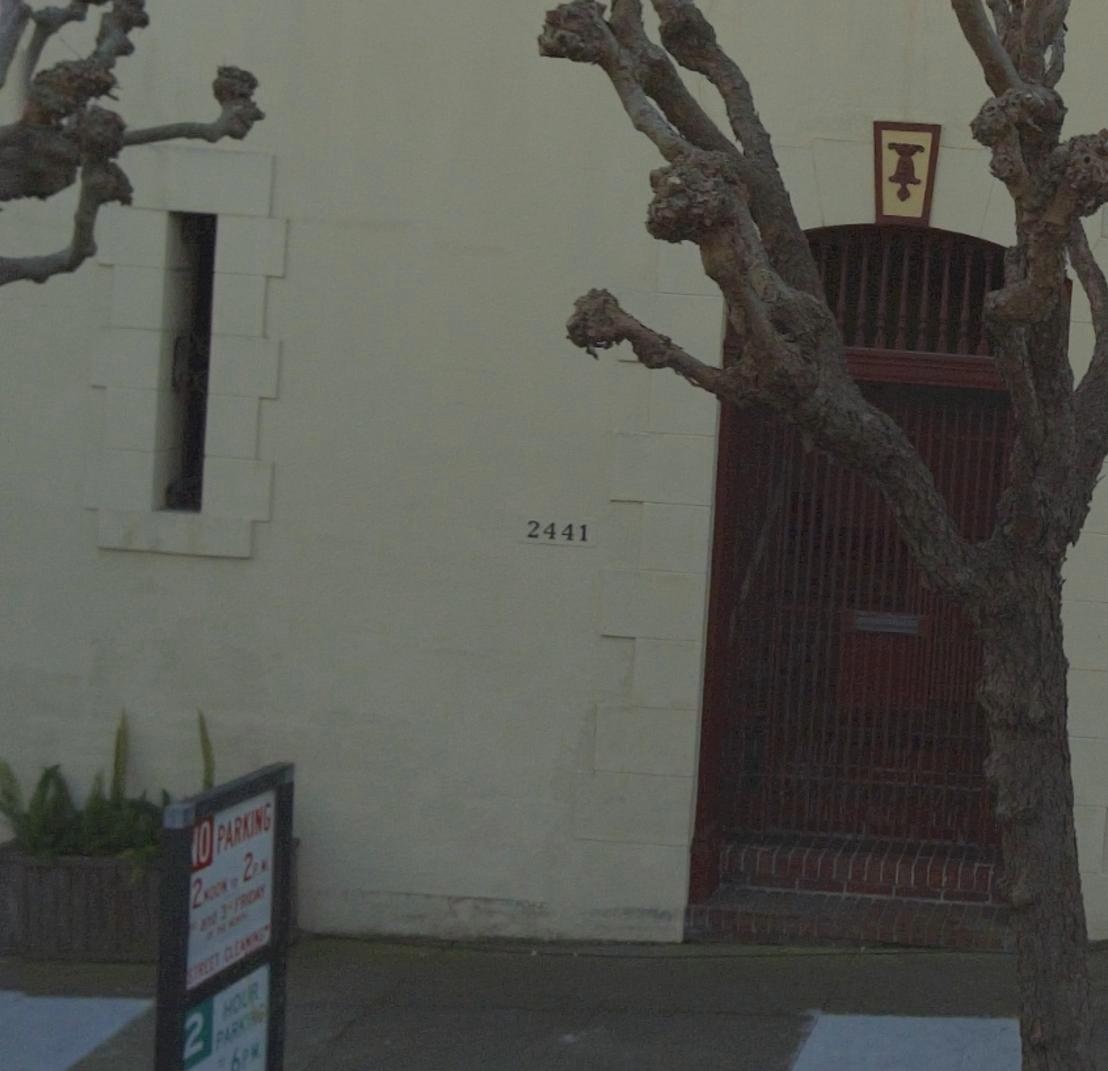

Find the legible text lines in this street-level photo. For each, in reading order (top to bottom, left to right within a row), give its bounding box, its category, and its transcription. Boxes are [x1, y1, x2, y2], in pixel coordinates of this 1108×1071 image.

[524, 518, 590, 545] StreetNumber: 2441
[196, 800, 274, 868] None: O PARKING
[190, 848, 272, 914] None: 2 *OO* ** 2 P.*
[185, 935, 251, 988] None: STREET CLEA
[221, 976, 264, 1024] None: HOUR
[182, 1006, 206, 1061] None: 2
[212, 1022, 238, 1059] None: PA
[239, 1039, 263, 1070] None: P.M.